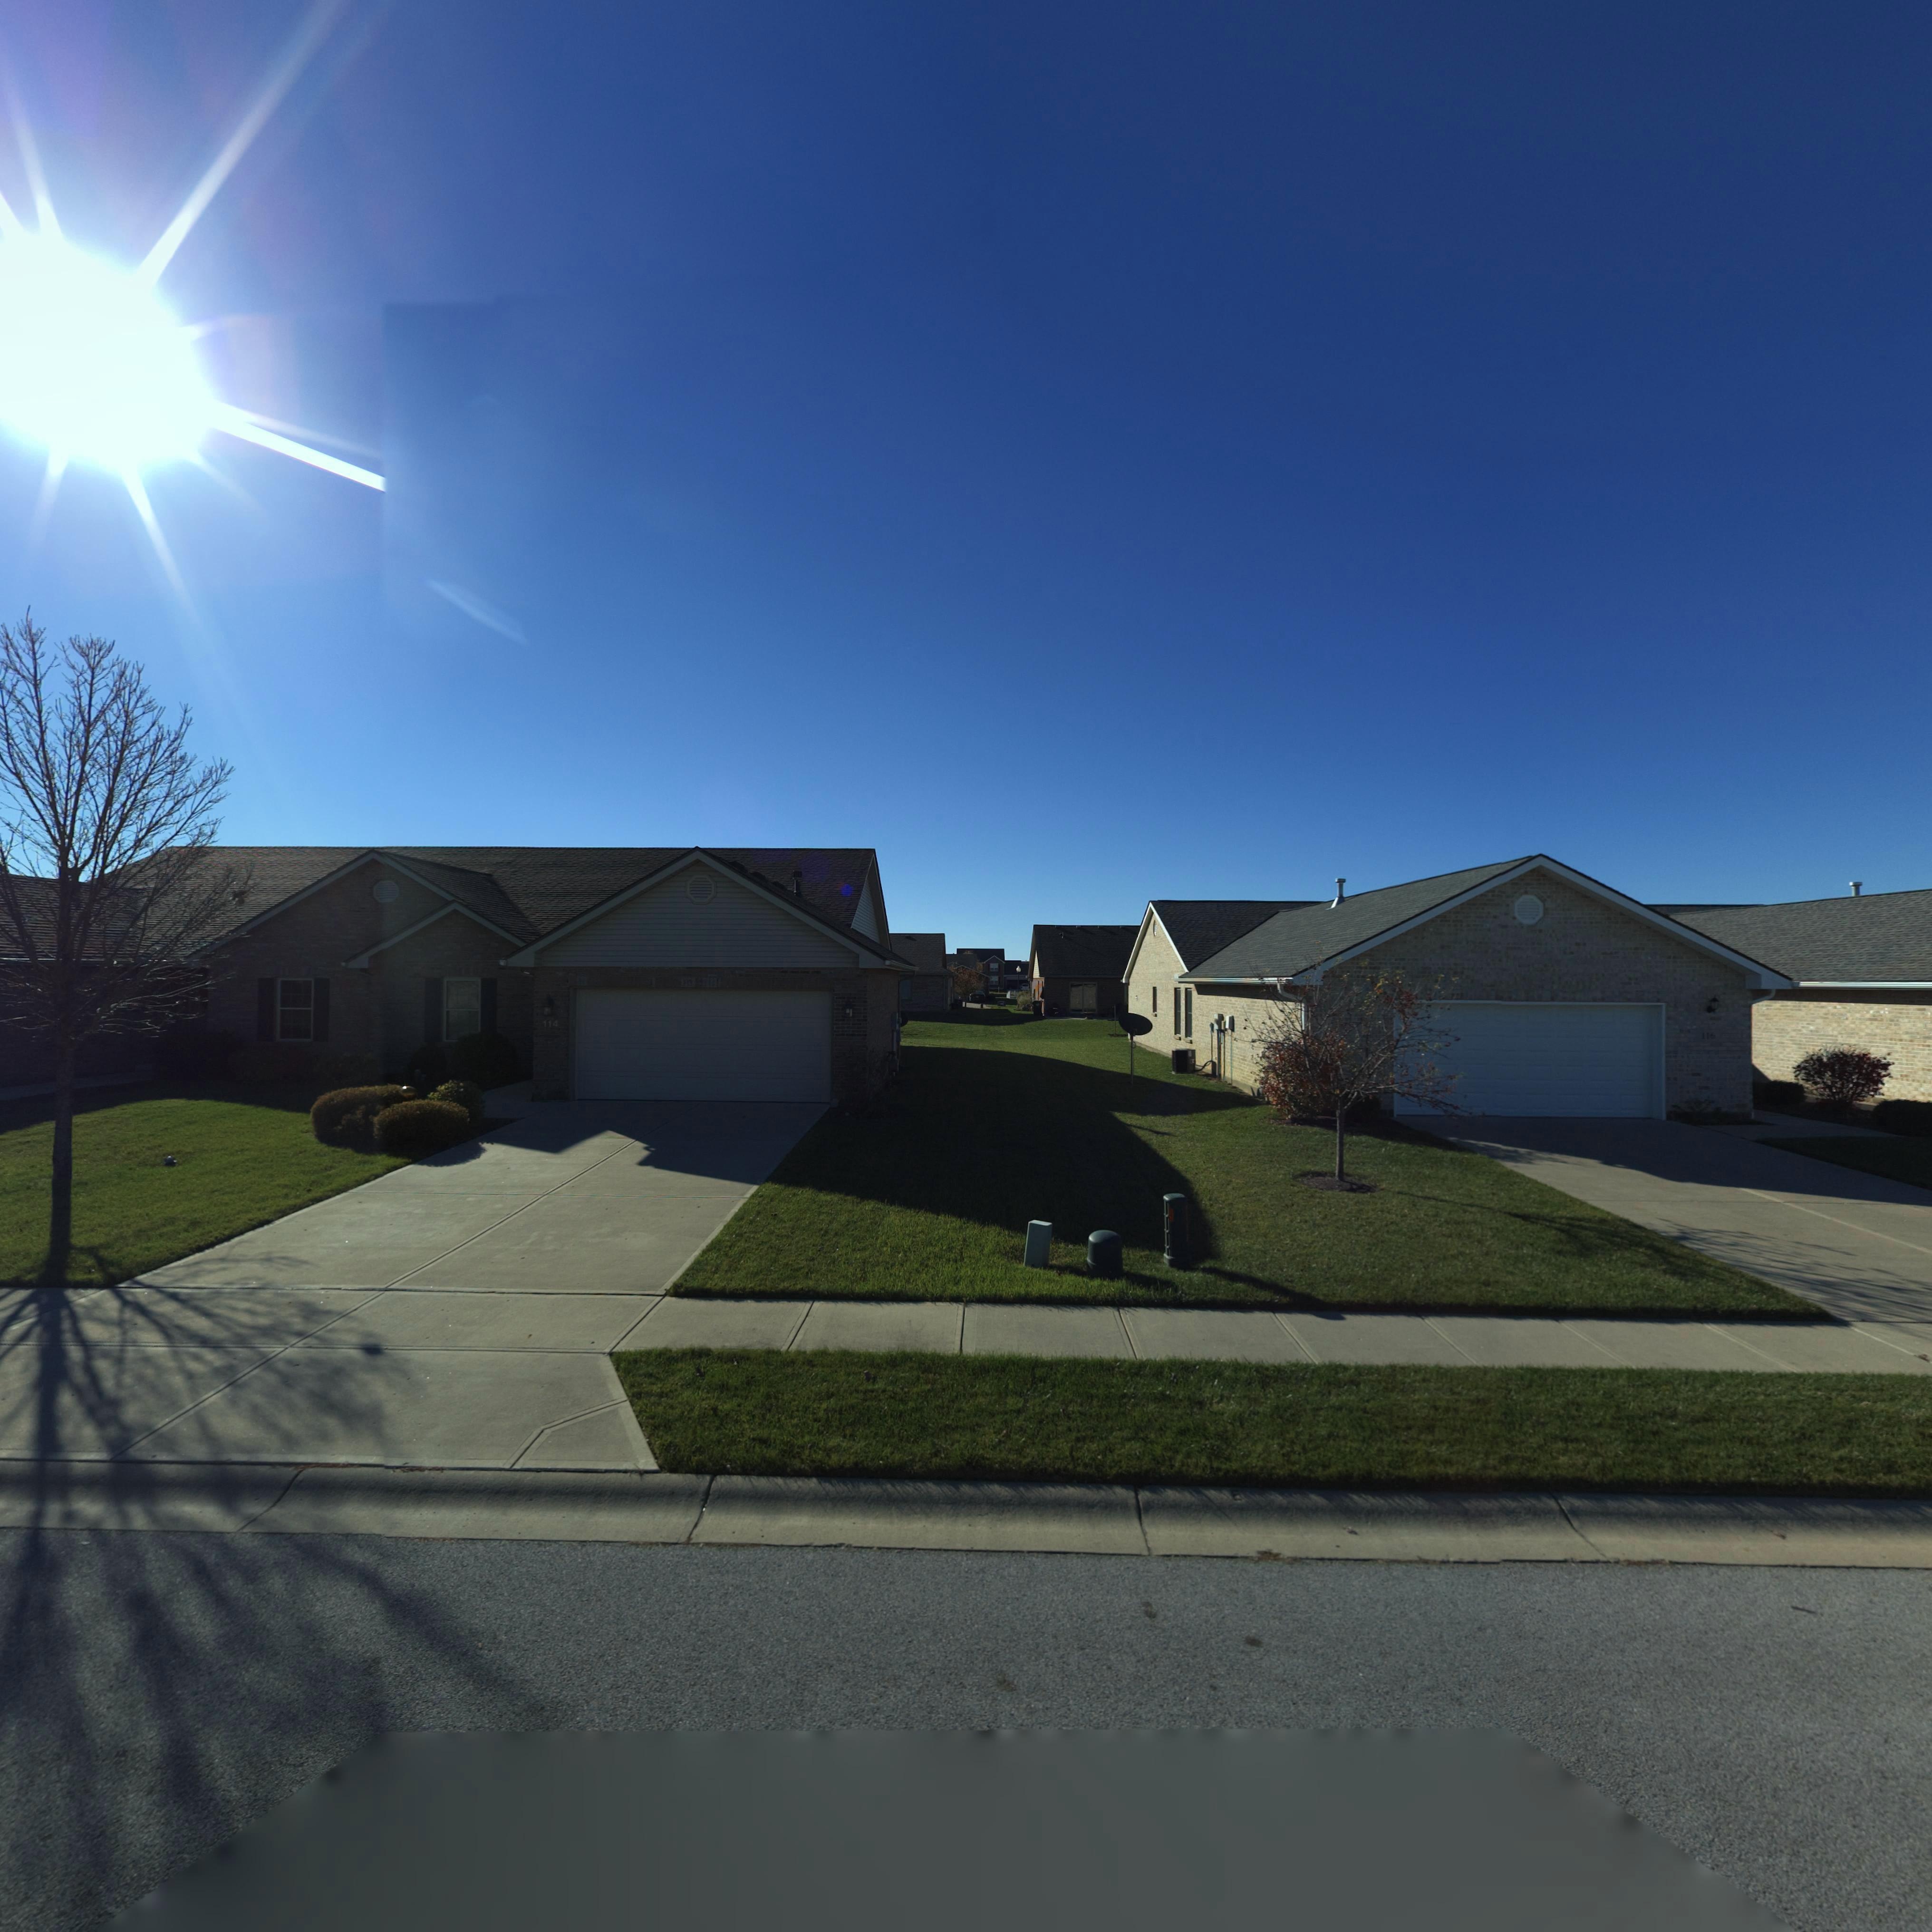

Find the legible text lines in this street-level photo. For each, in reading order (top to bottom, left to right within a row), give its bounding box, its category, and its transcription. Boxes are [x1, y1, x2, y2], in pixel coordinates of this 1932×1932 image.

[542, 1020, 560, 1028] StreetNumber: 114
[1701, 1032, 1717, 1041] StreetNumber: 116